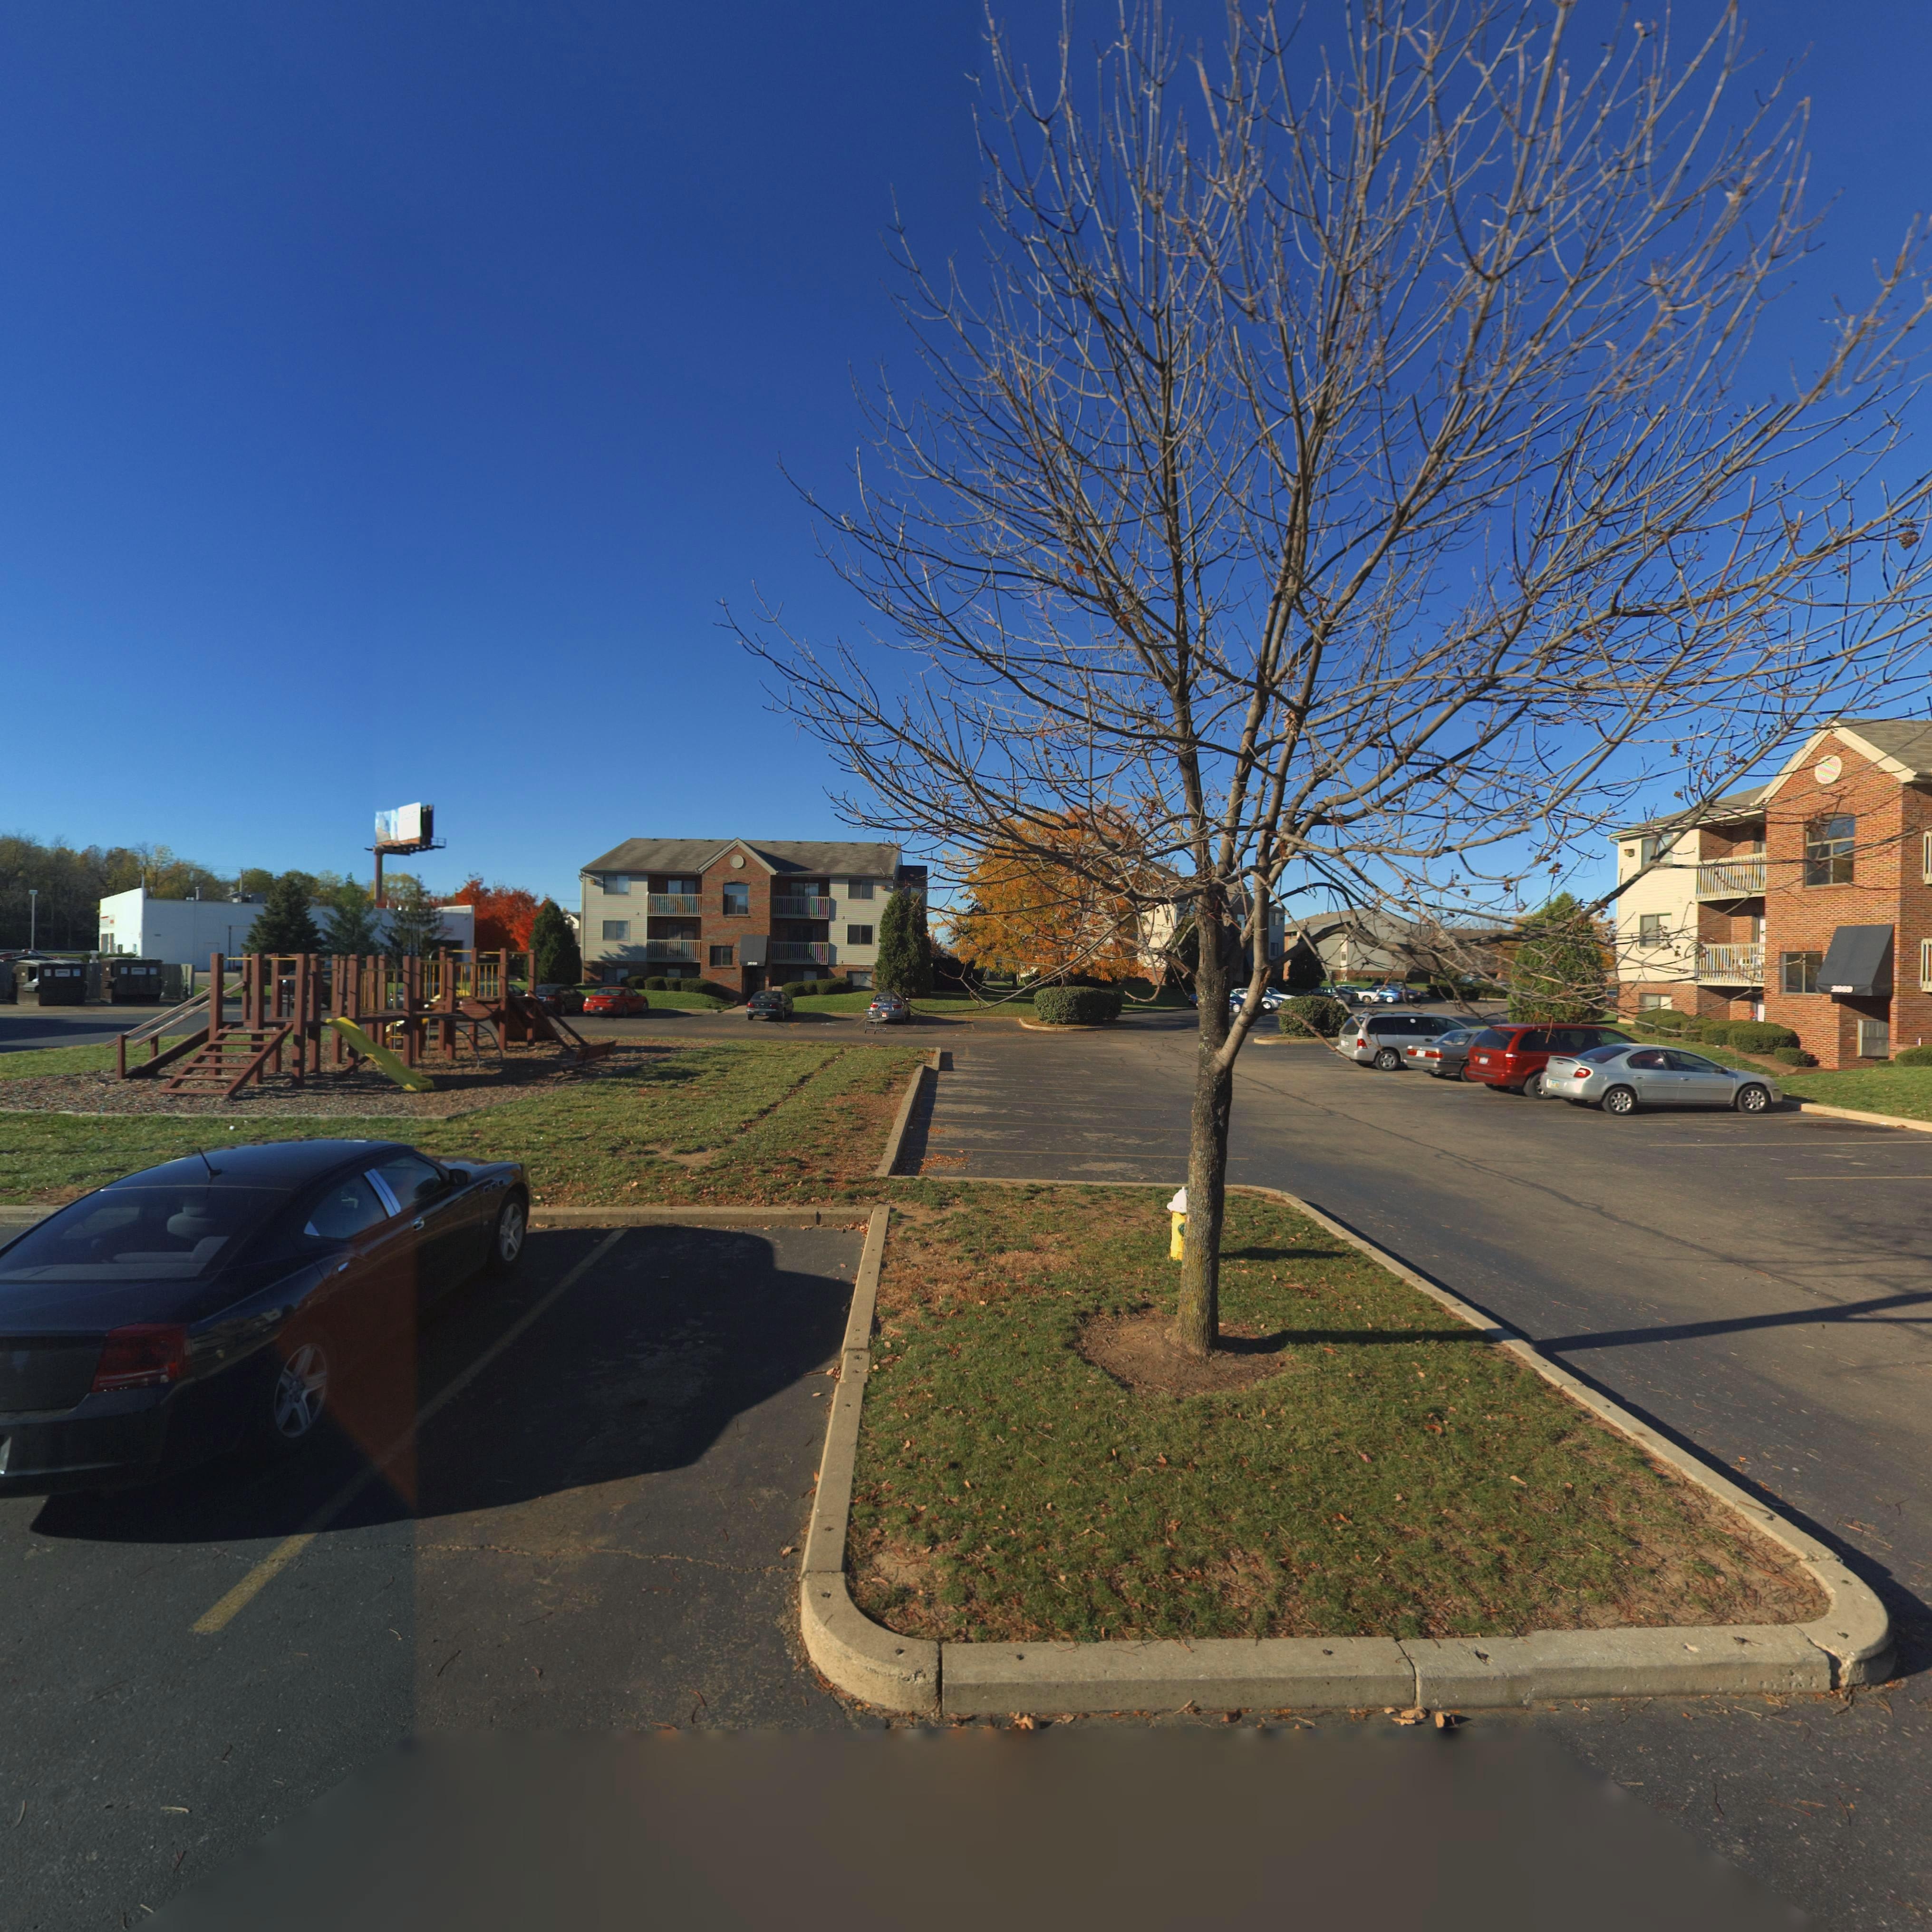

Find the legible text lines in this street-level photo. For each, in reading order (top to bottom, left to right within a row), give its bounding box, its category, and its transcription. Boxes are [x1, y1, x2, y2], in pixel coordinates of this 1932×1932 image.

[1830, 985, 1854, 994] StreetNumber: 2669